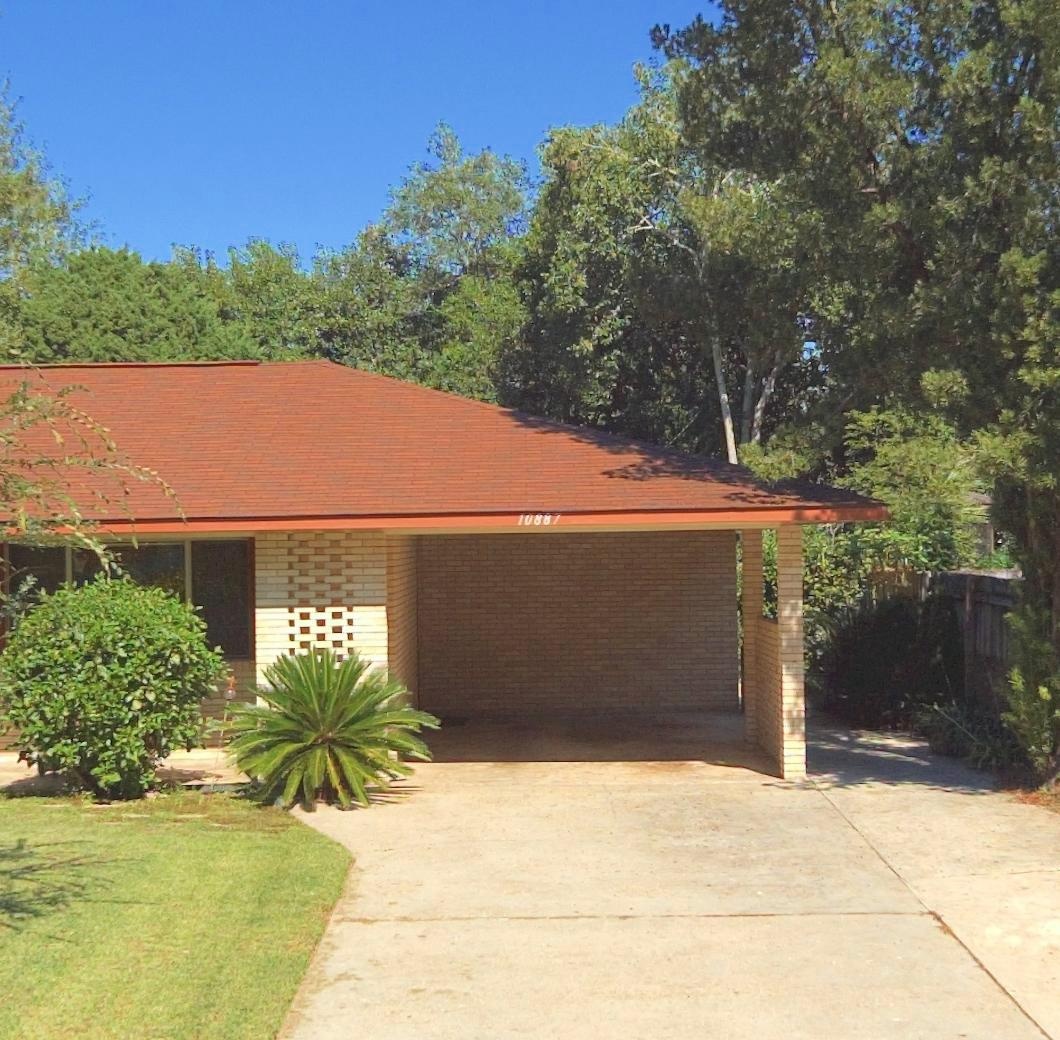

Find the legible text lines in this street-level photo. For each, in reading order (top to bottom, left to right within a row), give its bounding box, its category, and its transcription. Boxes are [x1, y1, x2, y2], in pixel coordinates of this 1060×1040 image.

[515, 511, 563, 528] StreetNumber: 10887